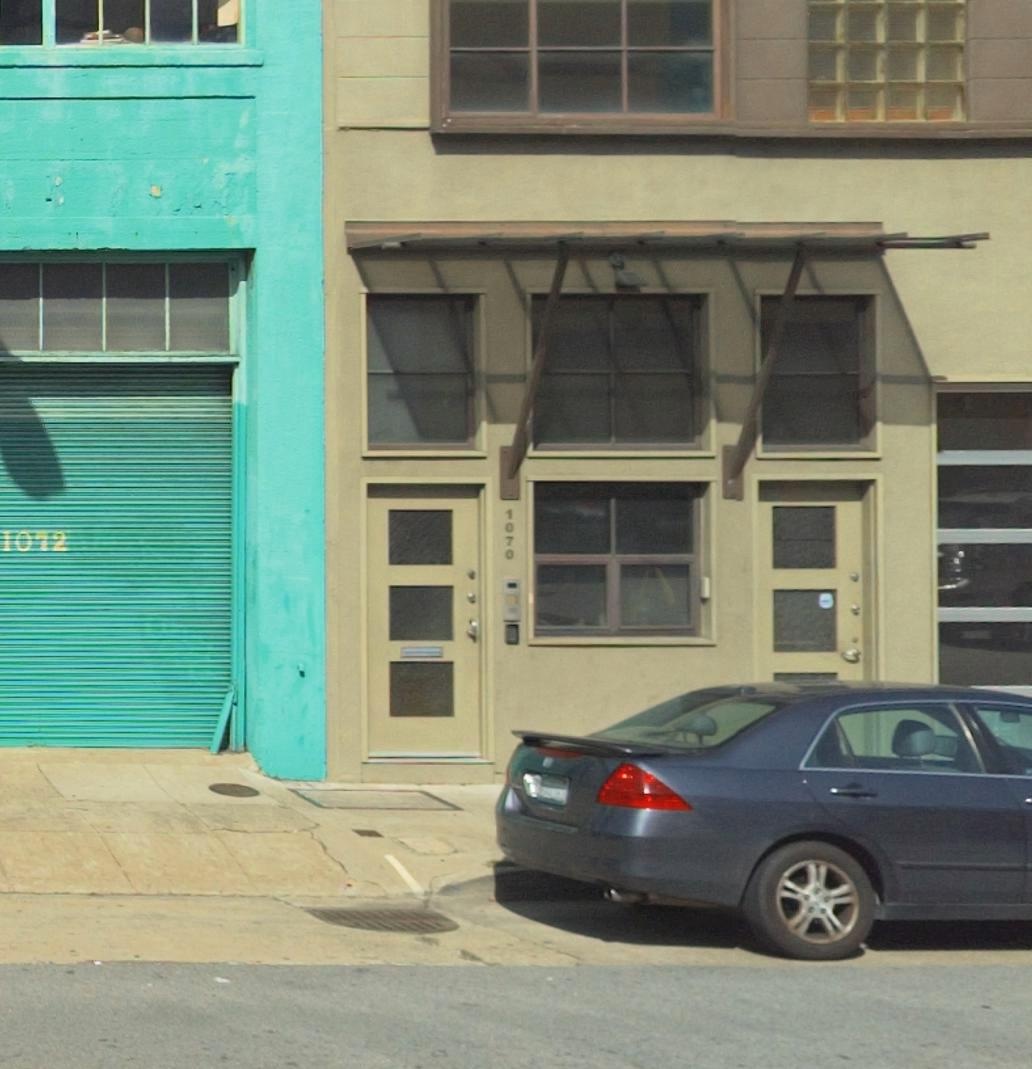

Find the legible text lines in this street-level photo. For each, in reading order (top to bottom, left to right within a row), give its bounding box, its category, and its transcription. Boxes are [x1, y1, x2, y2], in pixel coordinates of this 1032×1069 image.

[0, 526, 72, 556] StreetNumber: 1072
[502, 505, 518, 565] StreetNumber: 1070